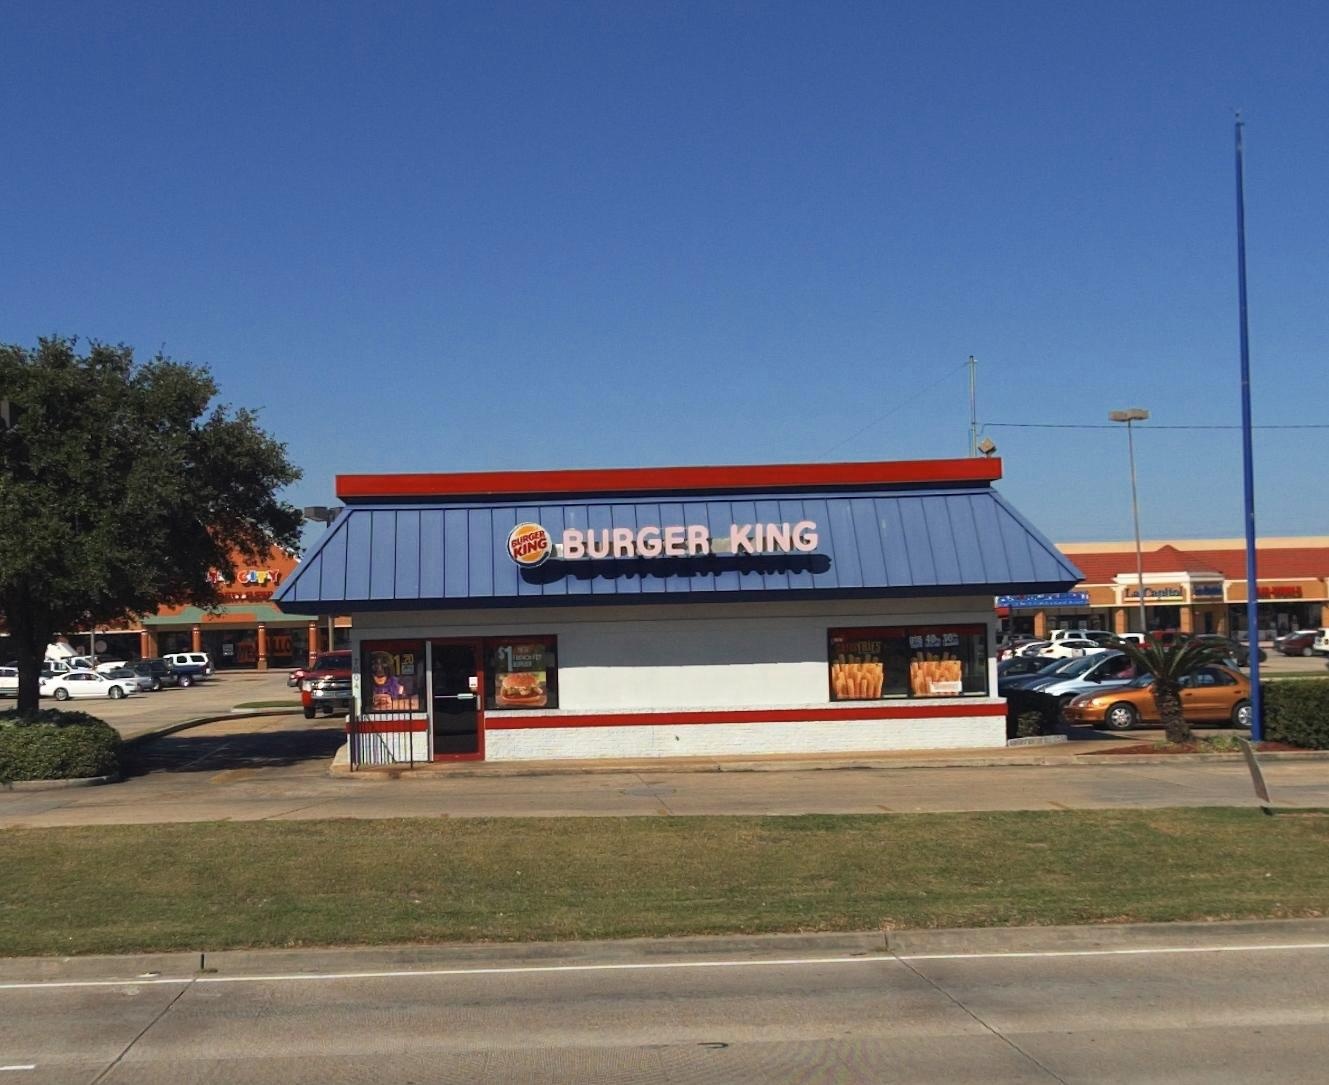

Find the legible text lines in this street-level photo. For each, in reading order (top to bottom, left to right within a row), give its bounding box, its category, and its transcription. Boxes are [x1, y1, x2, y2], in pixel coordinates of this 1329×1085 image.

[509, 526, 548, 553] BusinessName: BURGER
[512, 533, 551, 561] BusinessName: KING
[560, 517, 821, 562] BusinessName: BURGER KING
[234, 566, 284, 587] BusinessName: CITY
[1124, 584, 1187, 603] BusinessName: La Capital
[351, 656, 360, 690] StreetNumber: *004
[391, 651, 416, 678] None: 1.20
[502, 642, 515, 674] None: 1
[855, 637, 886, 658] None: FRIES
[923, 631, 939, 647] None: 40
[940, 631, 955, 644] None: 30